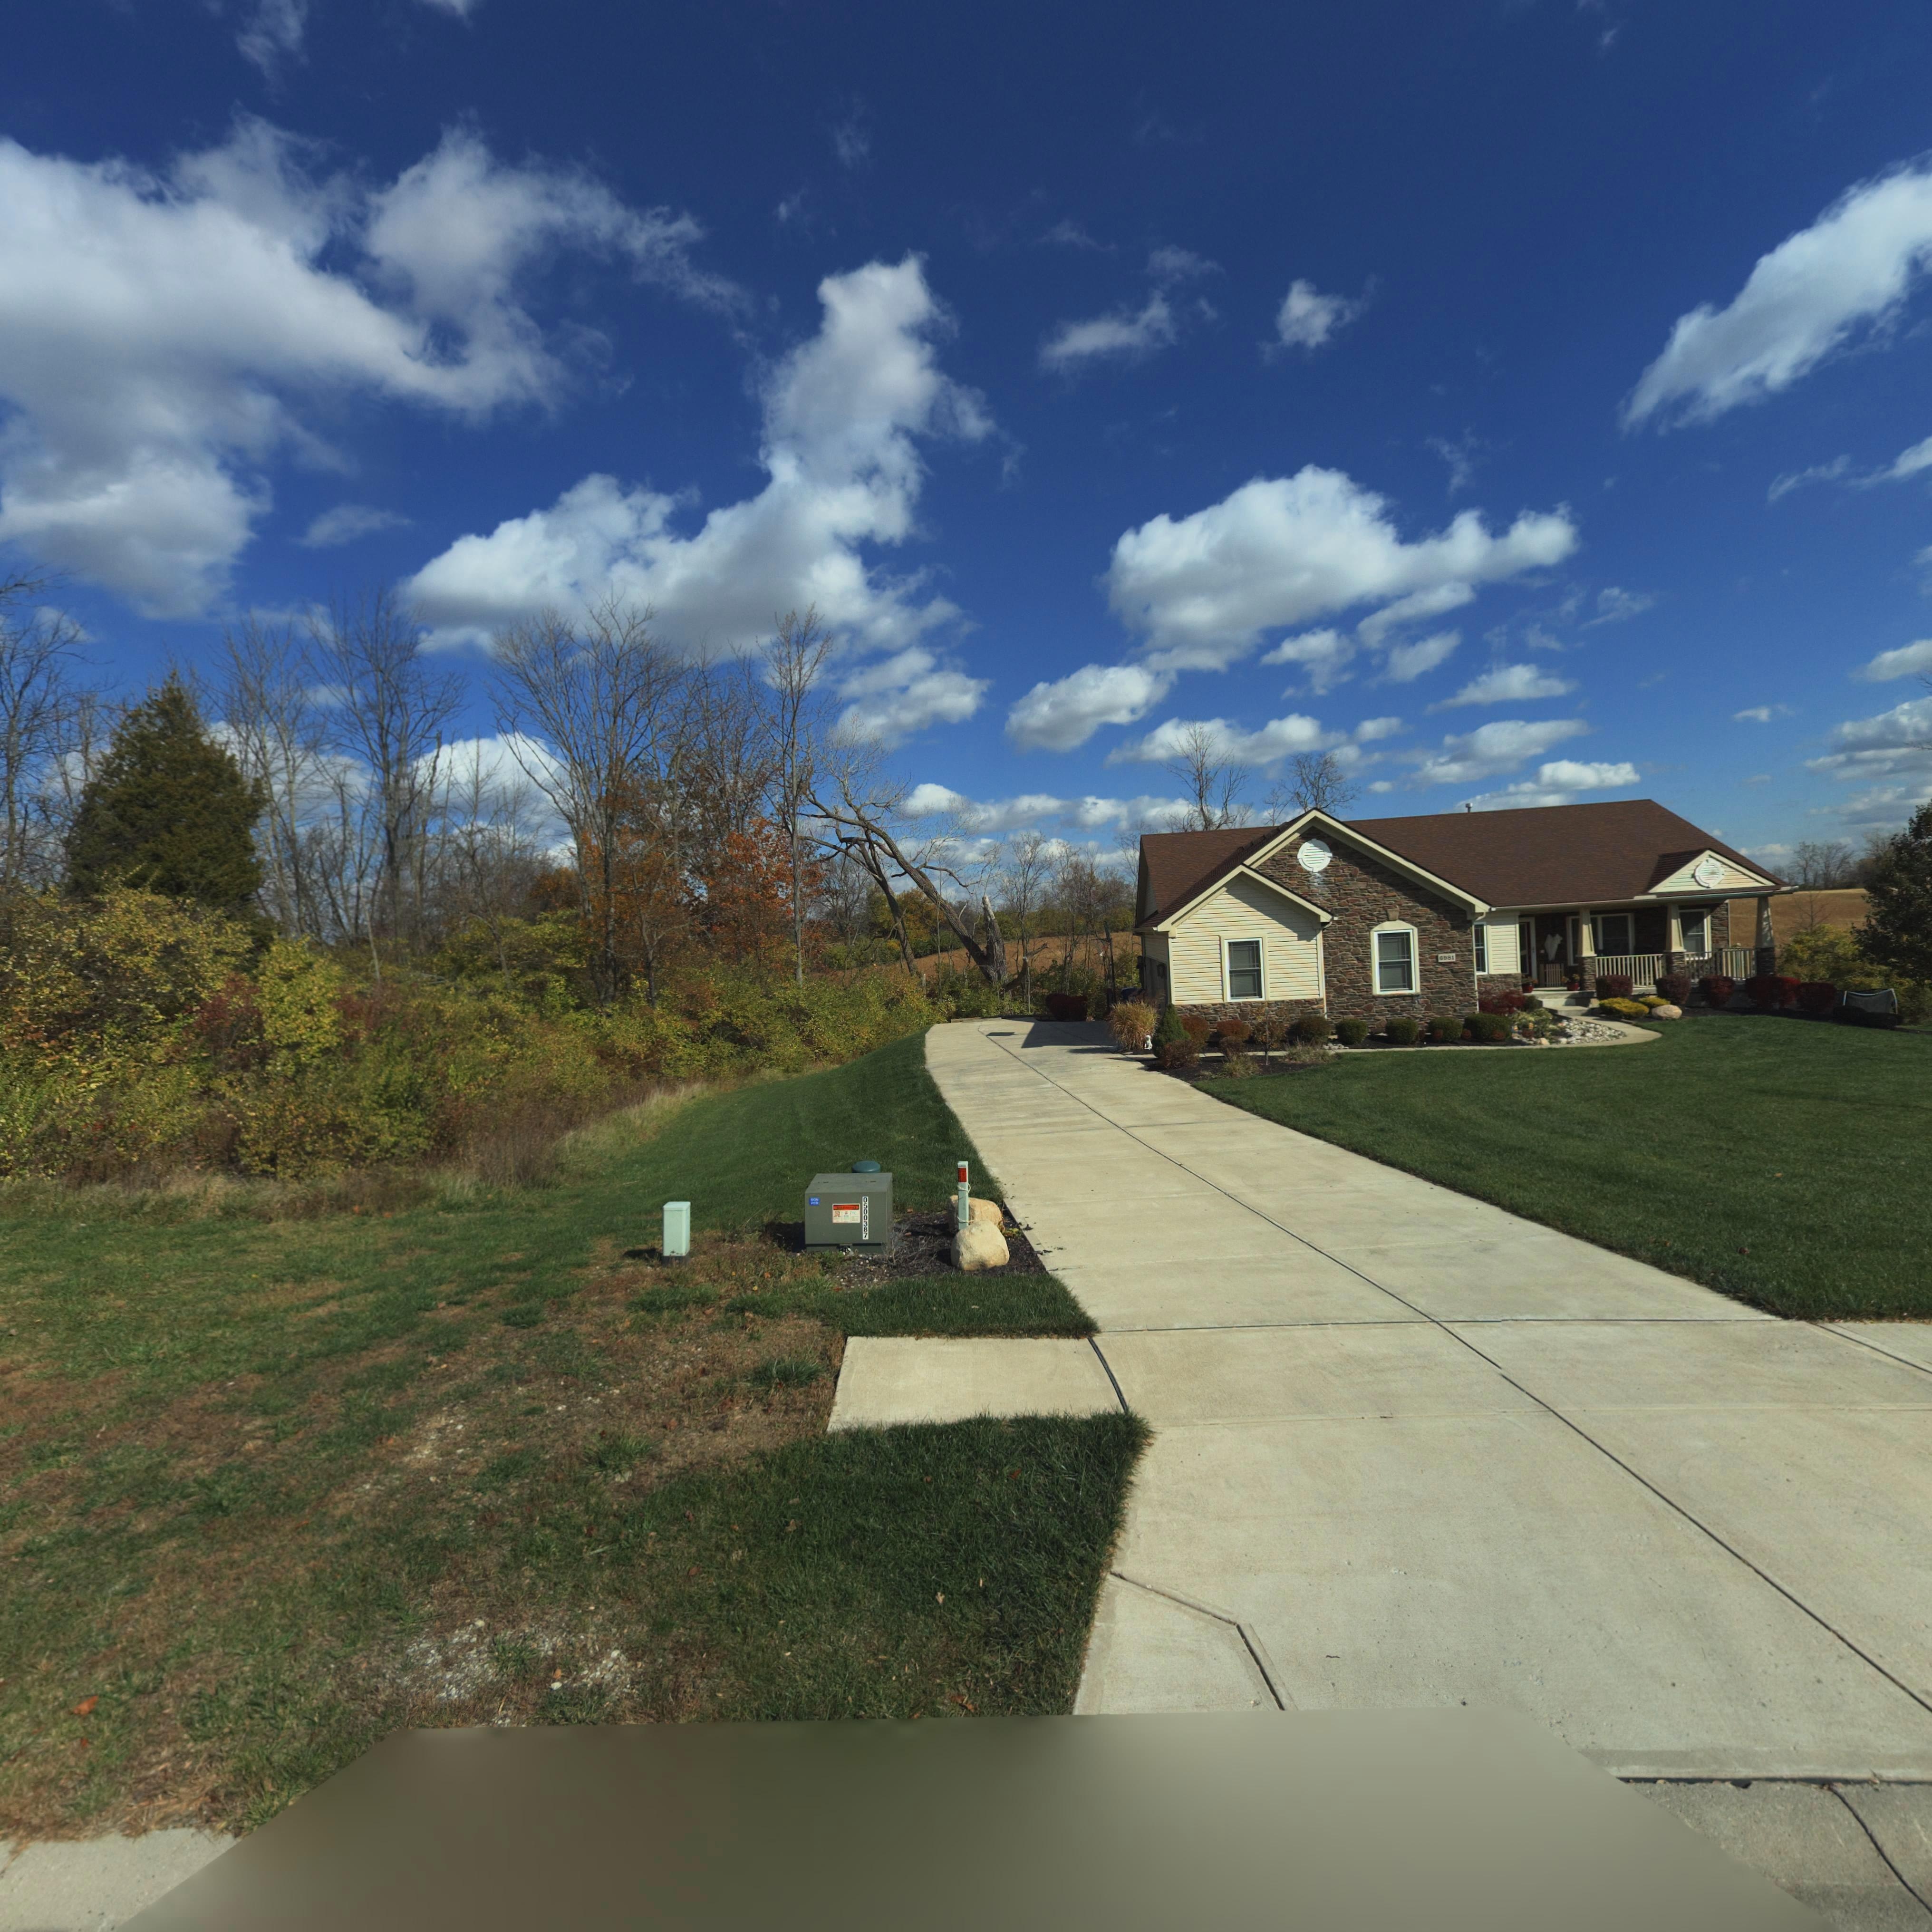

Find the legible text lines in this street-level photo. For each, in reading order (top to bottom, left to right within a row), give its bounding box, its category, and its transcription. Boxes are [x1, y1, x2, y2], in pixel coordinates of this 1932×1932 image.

[1439, 955, 1455, 961] StreetNumber: 6981